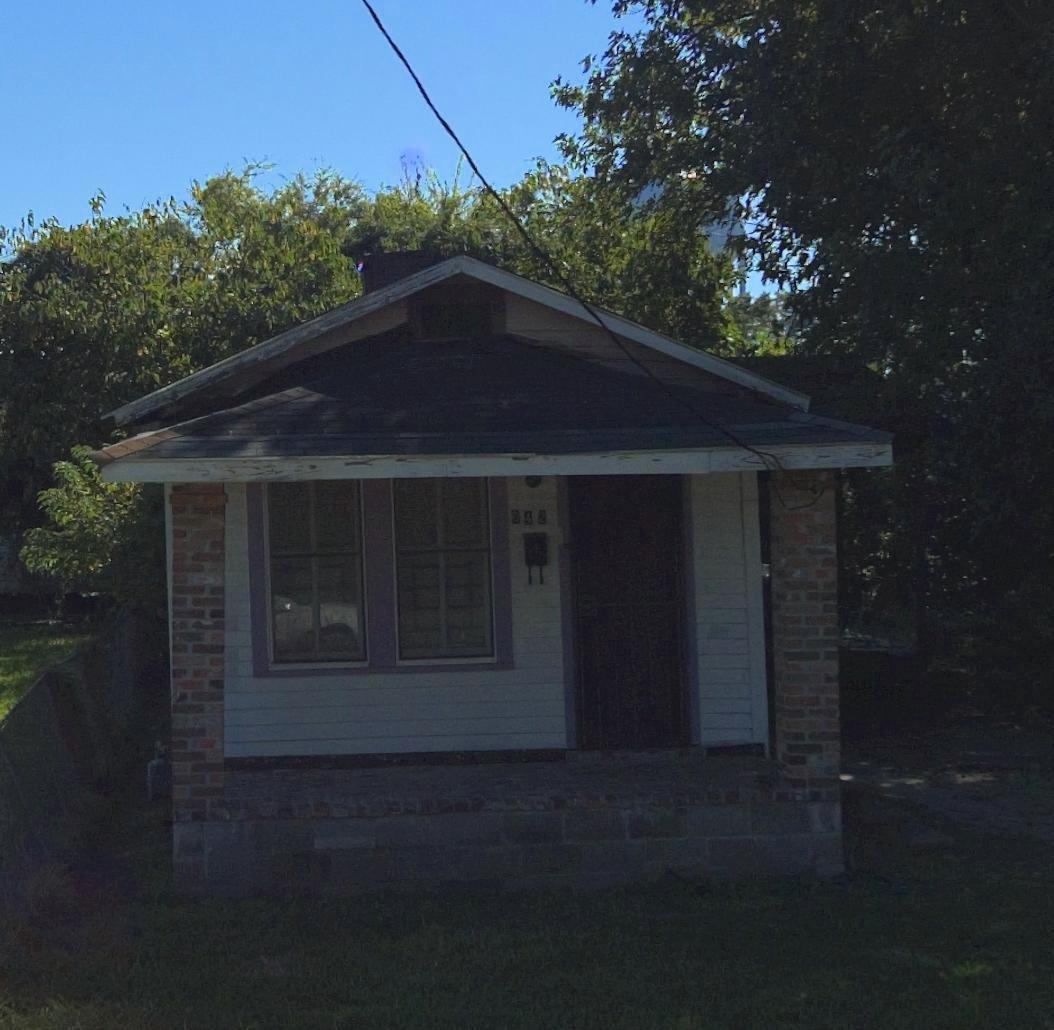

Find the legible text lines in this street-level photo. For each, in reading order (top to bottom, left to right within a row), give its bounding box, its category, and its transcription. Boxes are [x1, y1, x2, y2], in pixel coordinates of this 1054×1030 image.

[510, 510, 547, 525] StreetNumber: 642